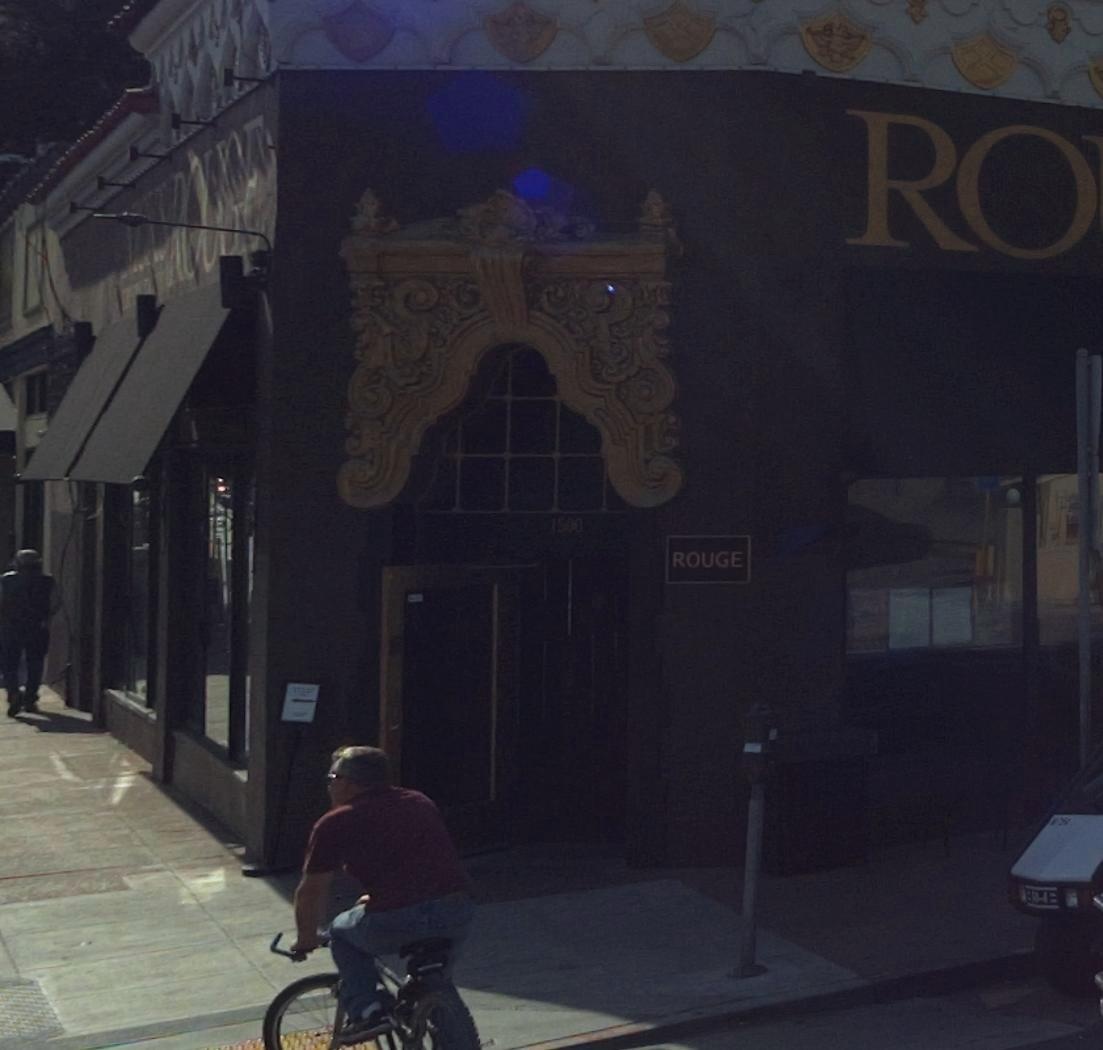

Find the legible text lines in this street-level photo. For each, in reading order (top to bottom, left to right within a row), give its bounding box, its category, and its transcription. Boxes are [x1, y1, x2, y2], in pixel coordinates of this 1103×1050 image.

[844, 107, 1101, 264] BusinessName: RO
[548, 513, 585, 535] StreetNumber: 1500
[671, 549, 744, 570] None: ROUGE